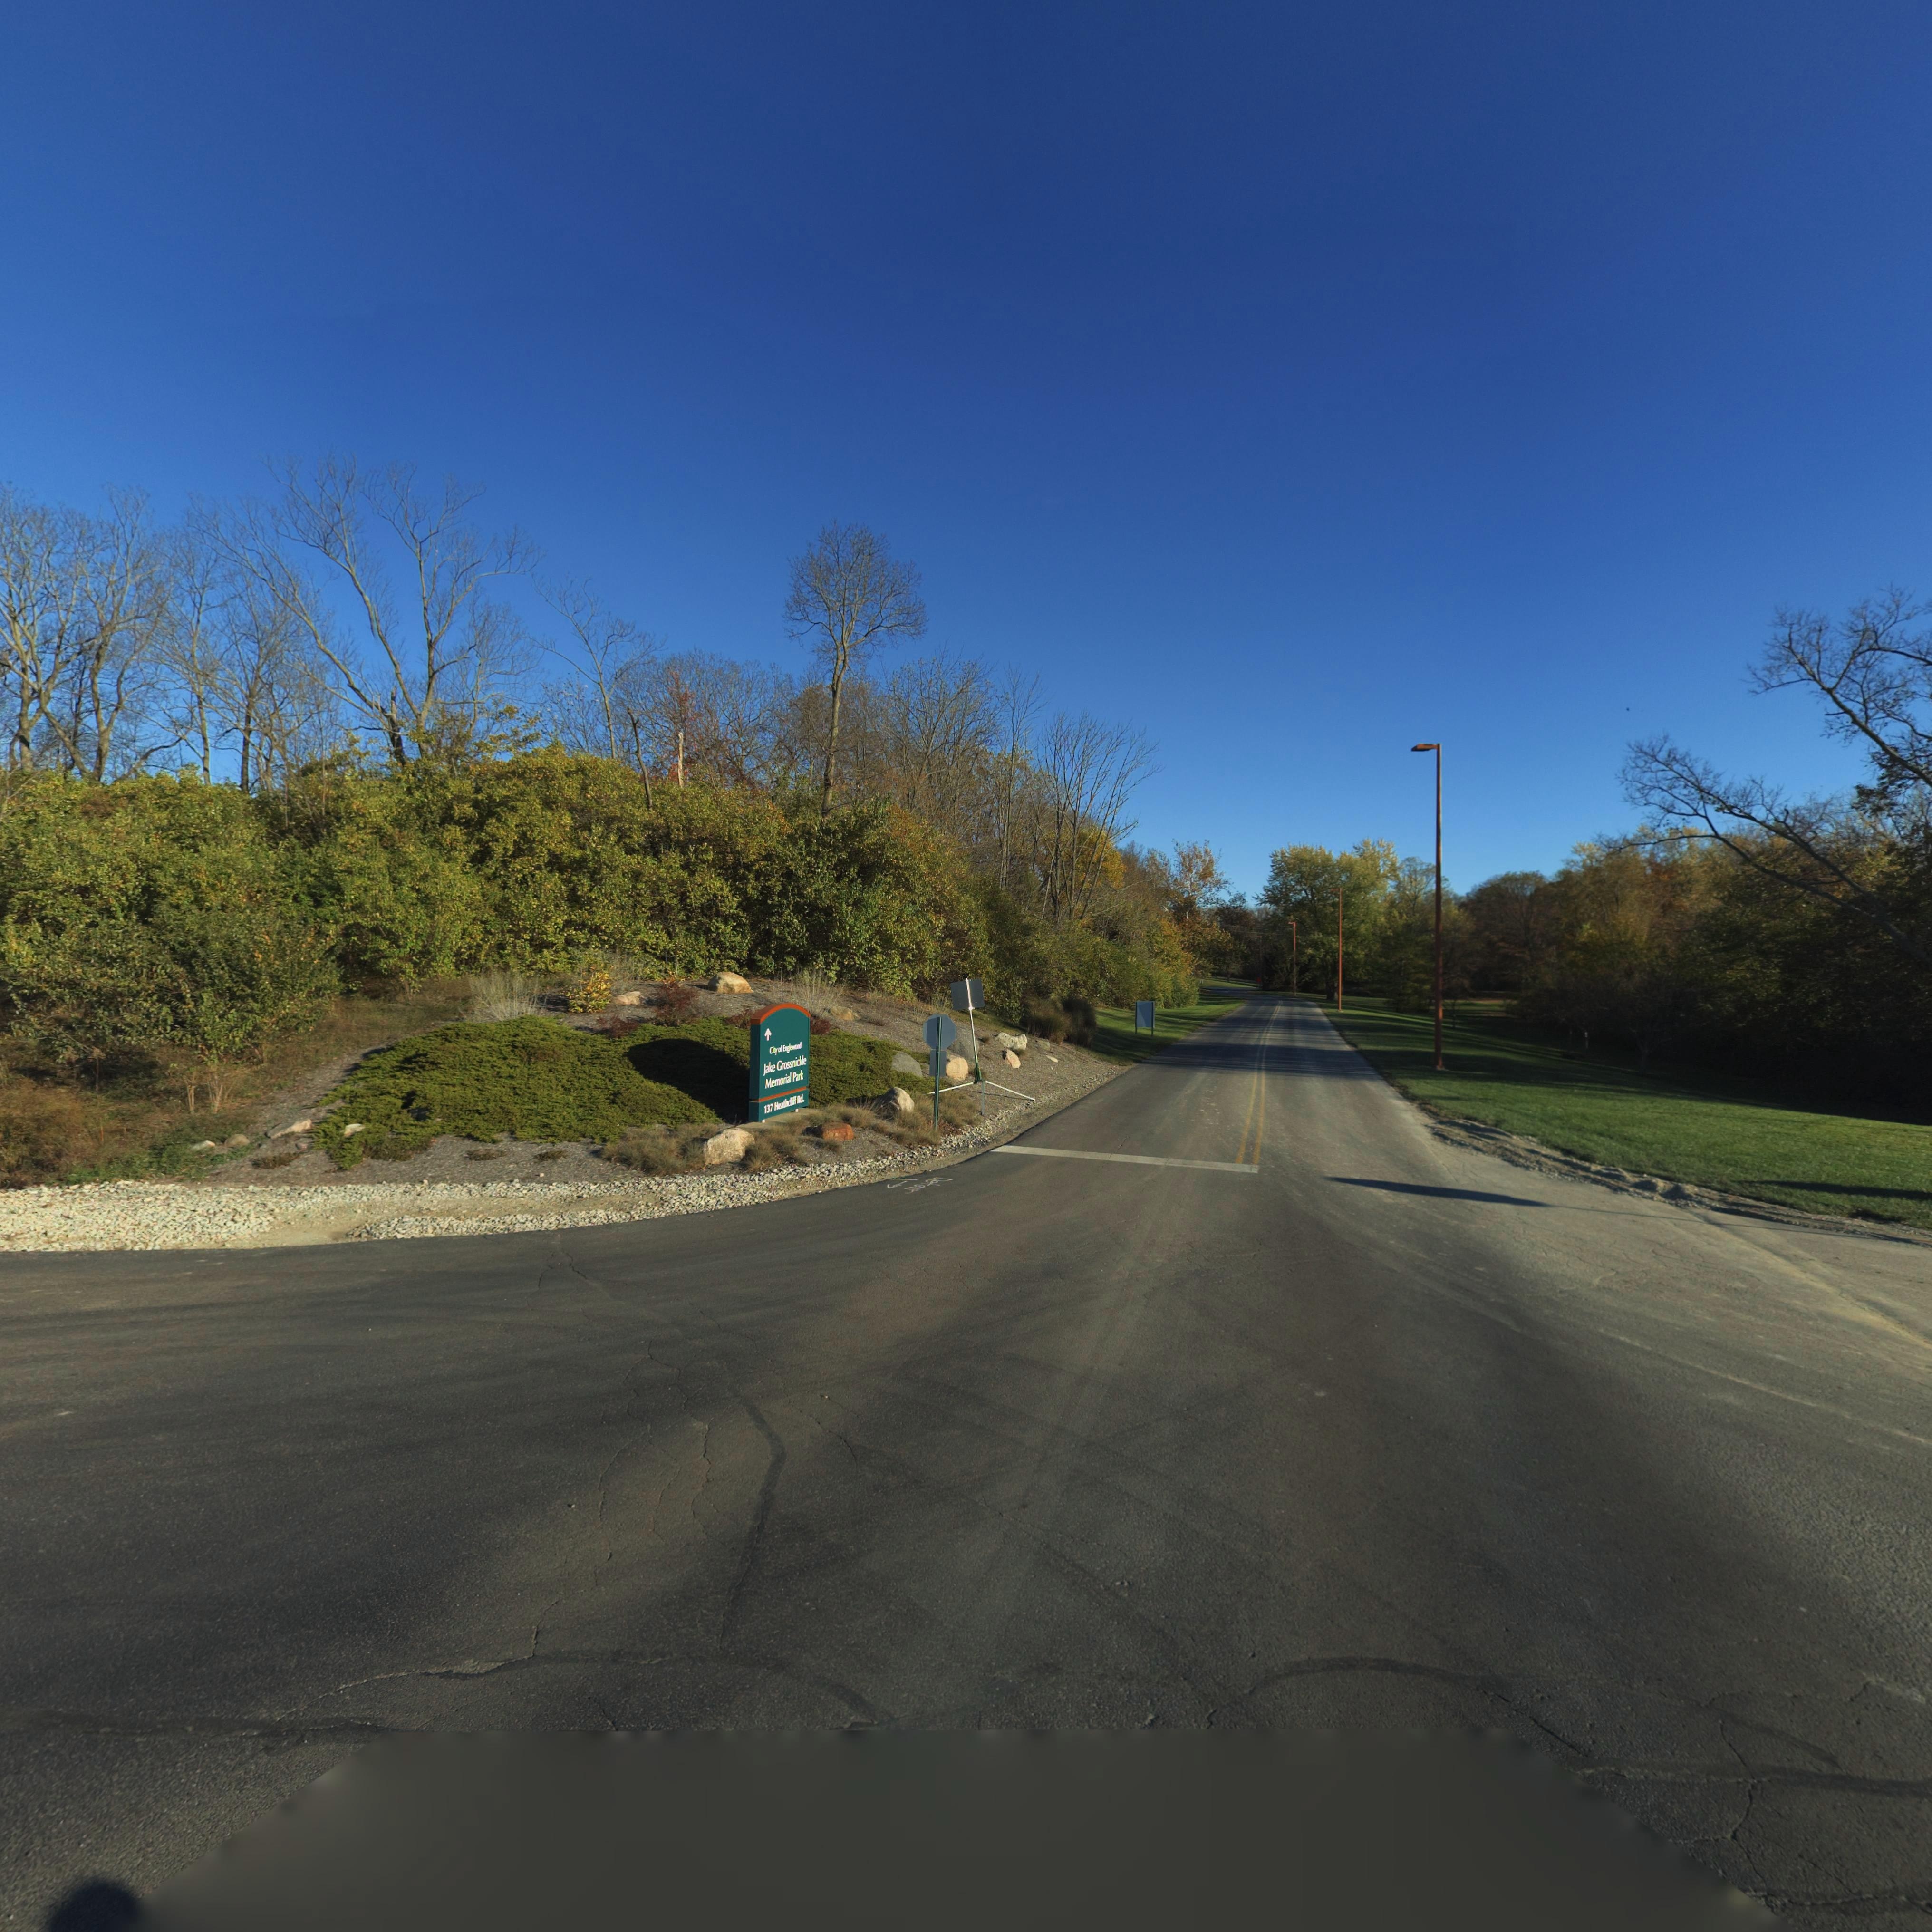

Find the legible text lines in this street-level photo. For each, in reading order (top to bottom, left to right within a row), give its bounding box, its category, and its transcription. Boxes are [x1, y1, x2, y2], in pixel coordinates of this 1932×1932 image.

[763, 1102, 774, 1115] StreetNumber: 137